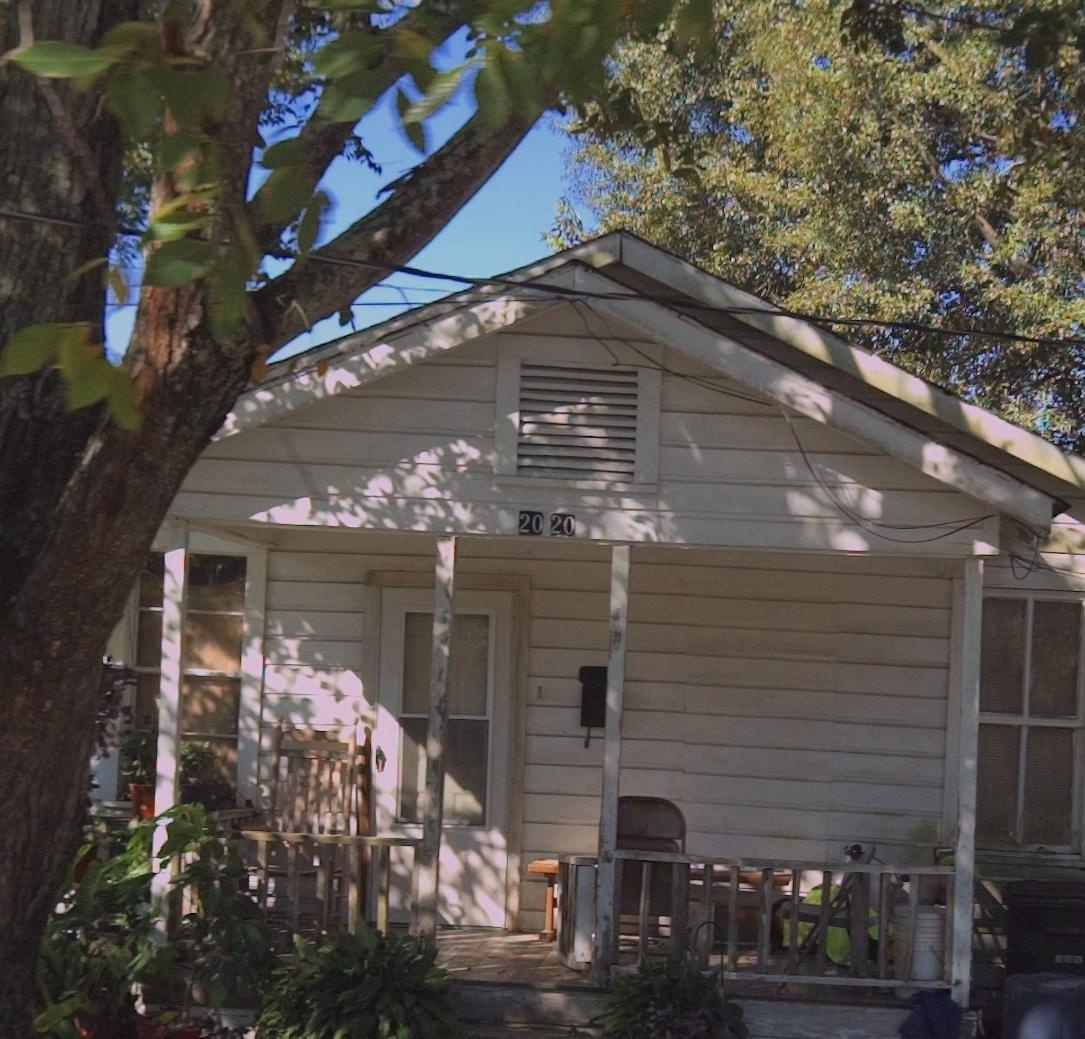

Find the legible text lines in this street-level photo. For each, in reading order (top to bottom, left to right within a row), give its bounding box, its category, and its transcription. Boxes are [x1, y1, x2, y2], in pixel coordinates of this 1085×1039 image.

[516, 511, 577, 538] StreetNumber: 20 20